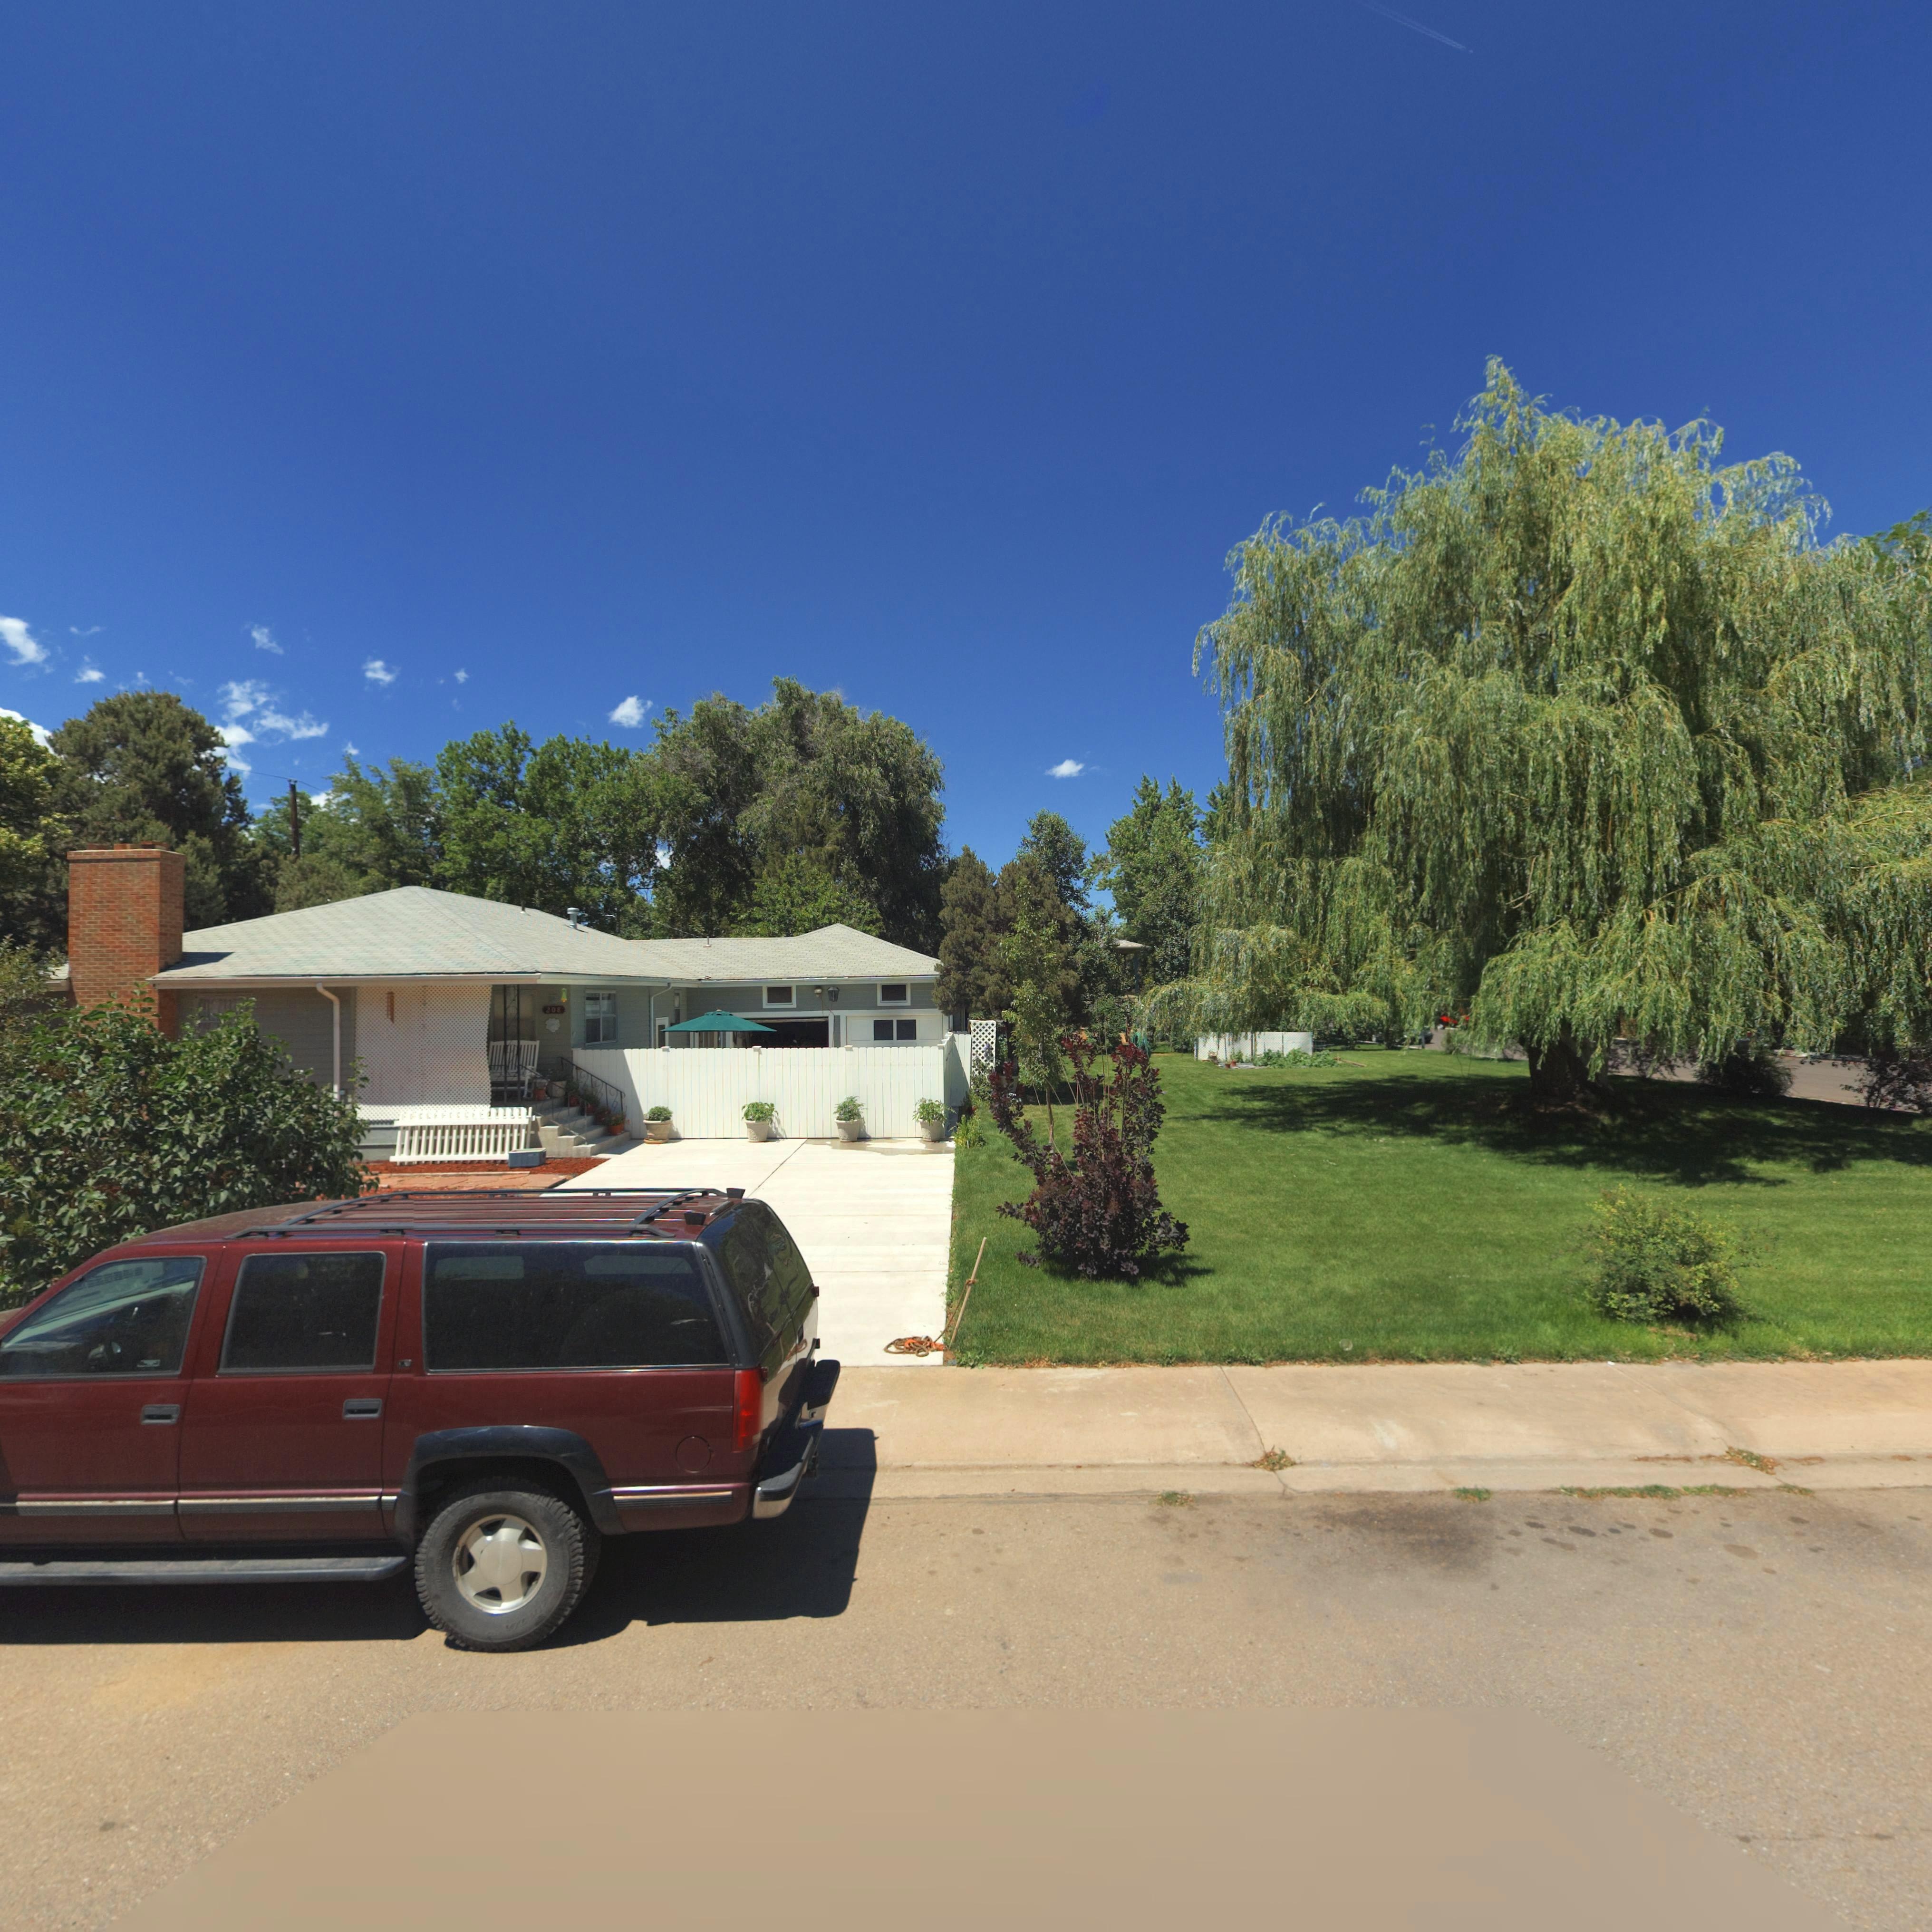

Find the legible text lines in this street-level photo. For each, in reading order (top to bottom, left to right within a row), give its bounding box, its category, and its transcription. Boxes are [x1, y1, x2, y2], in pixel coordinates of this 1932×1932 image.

[545, 1007, 561, 1013] StreetNumber: 208